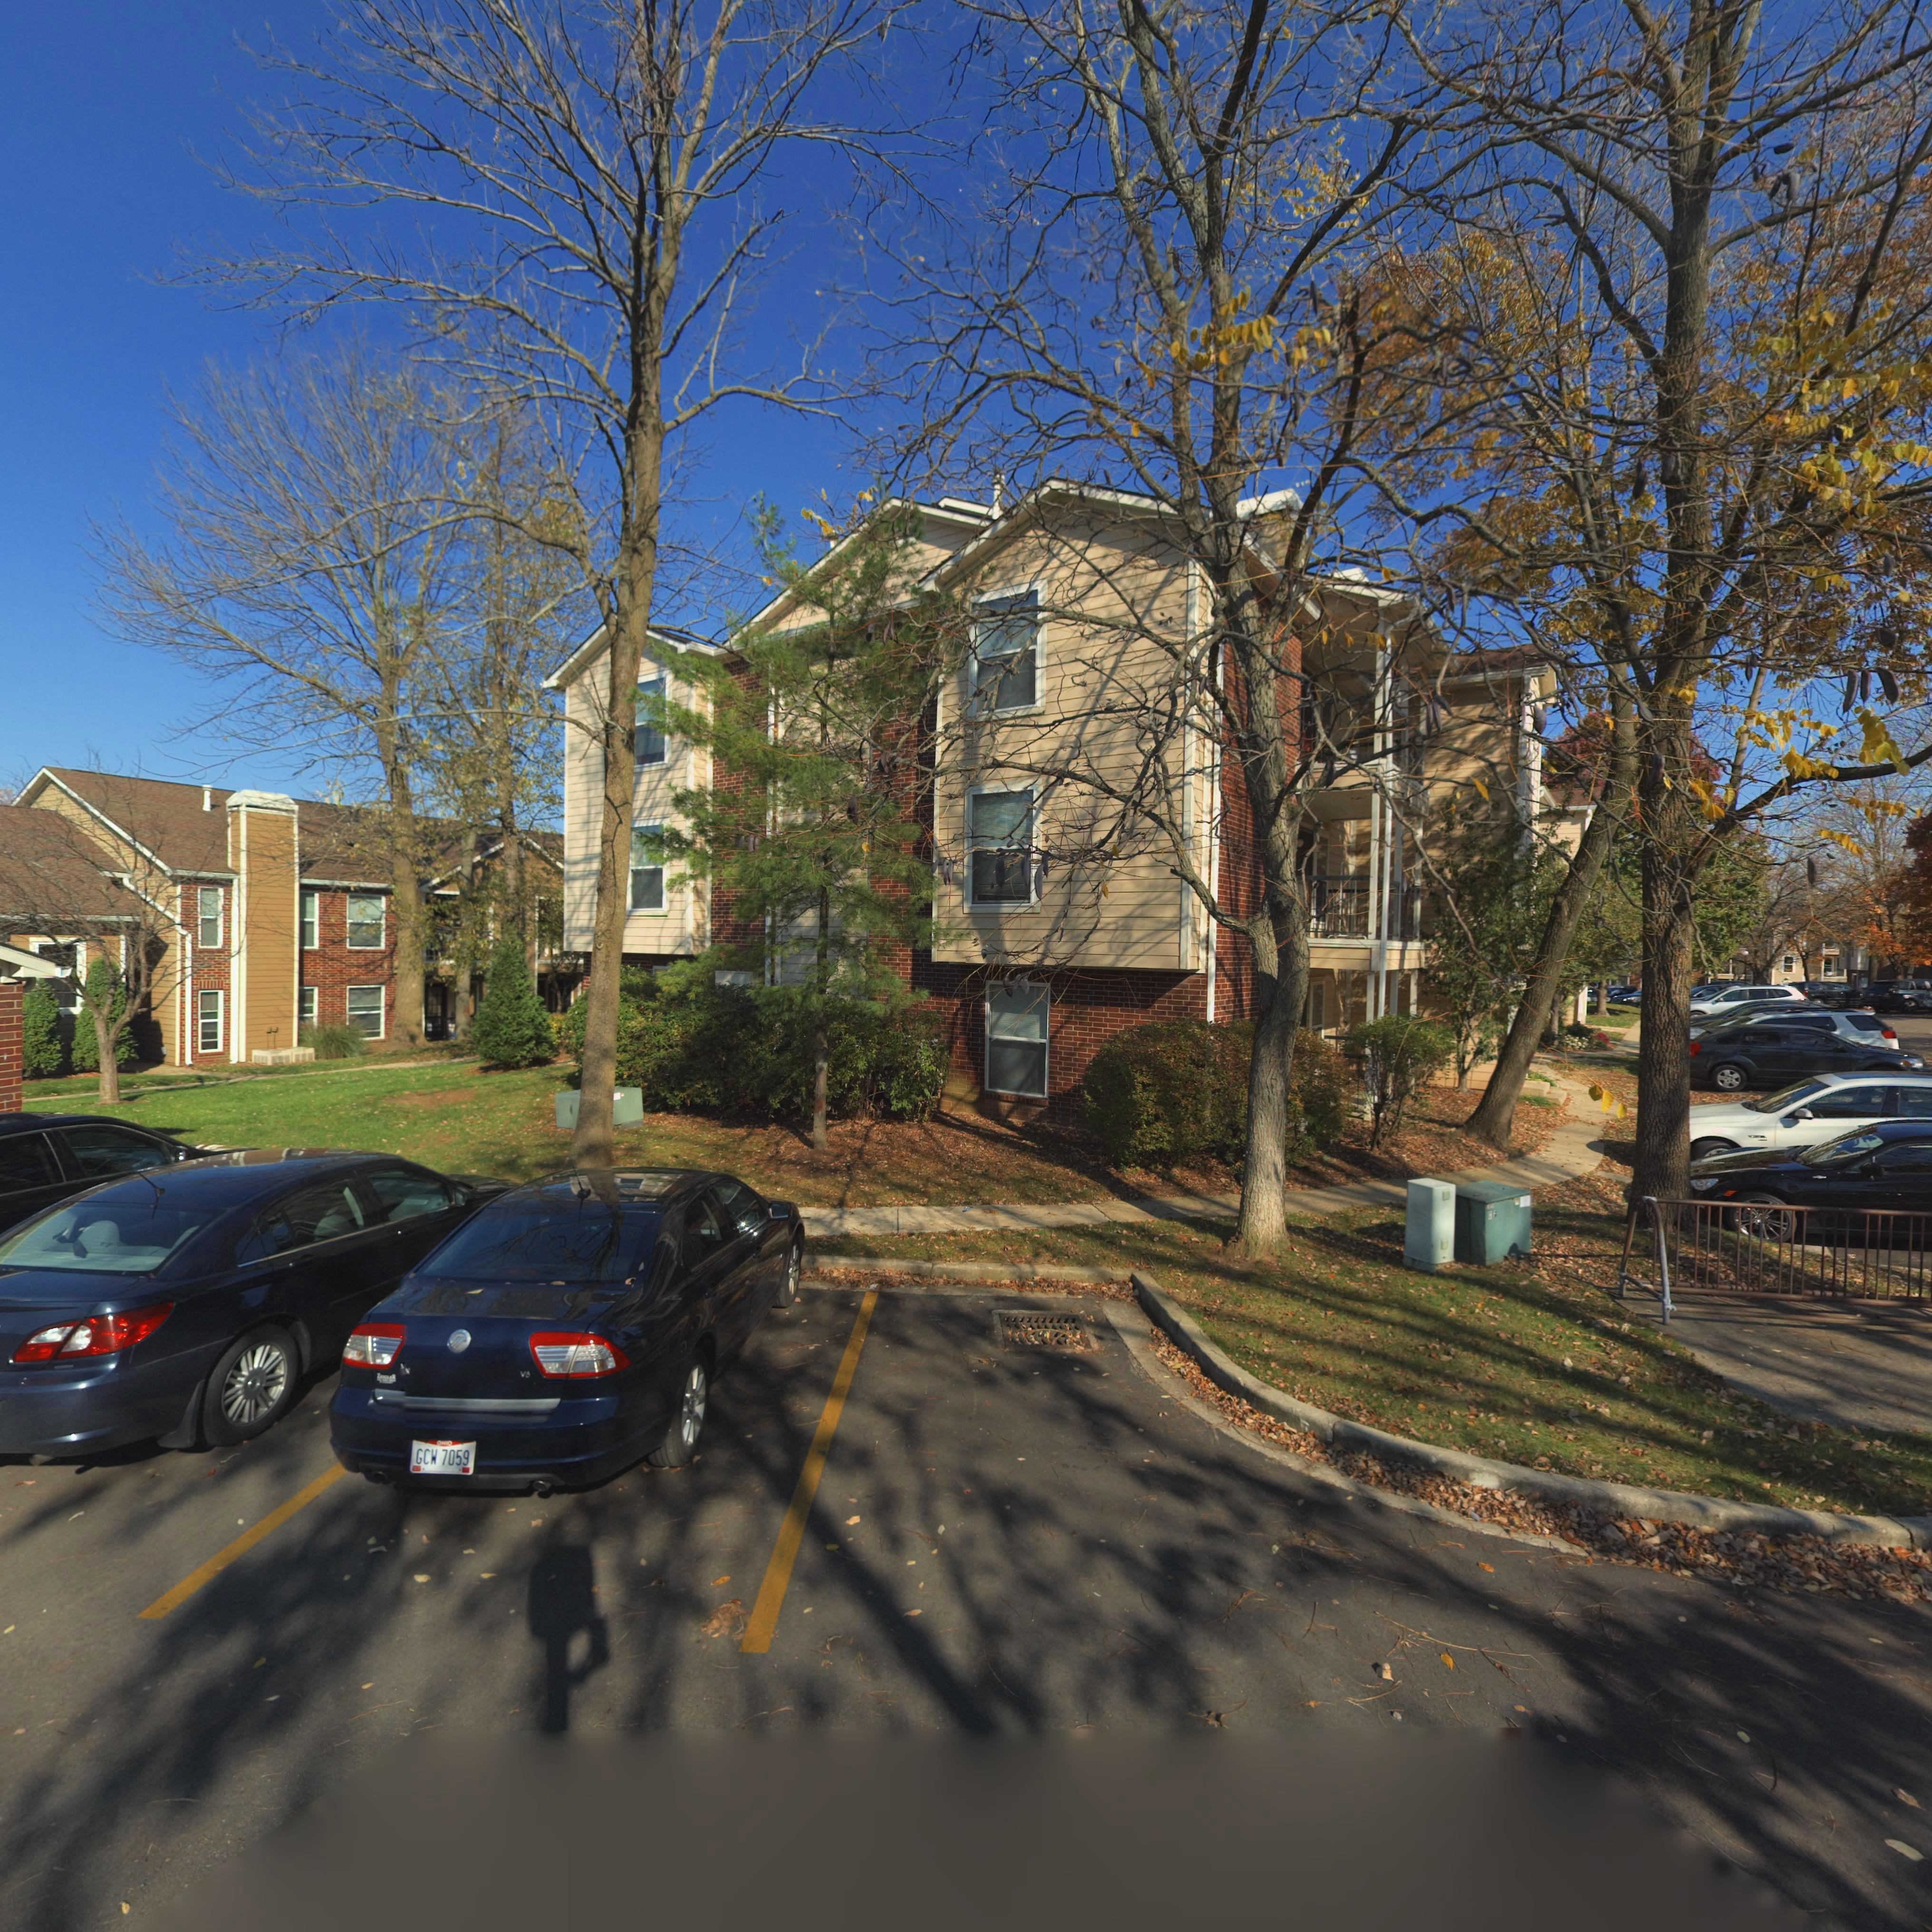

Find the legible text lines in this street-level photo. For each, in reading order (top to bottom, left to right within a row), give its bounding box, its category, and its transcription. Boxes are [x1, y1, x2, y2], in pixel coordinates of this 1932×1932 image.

[519, 1371, 531, 1380] None: V6
[435, 1439, 453, 1447] None: O**O
[415, 1447, 471, 1467] None: GCW 7059